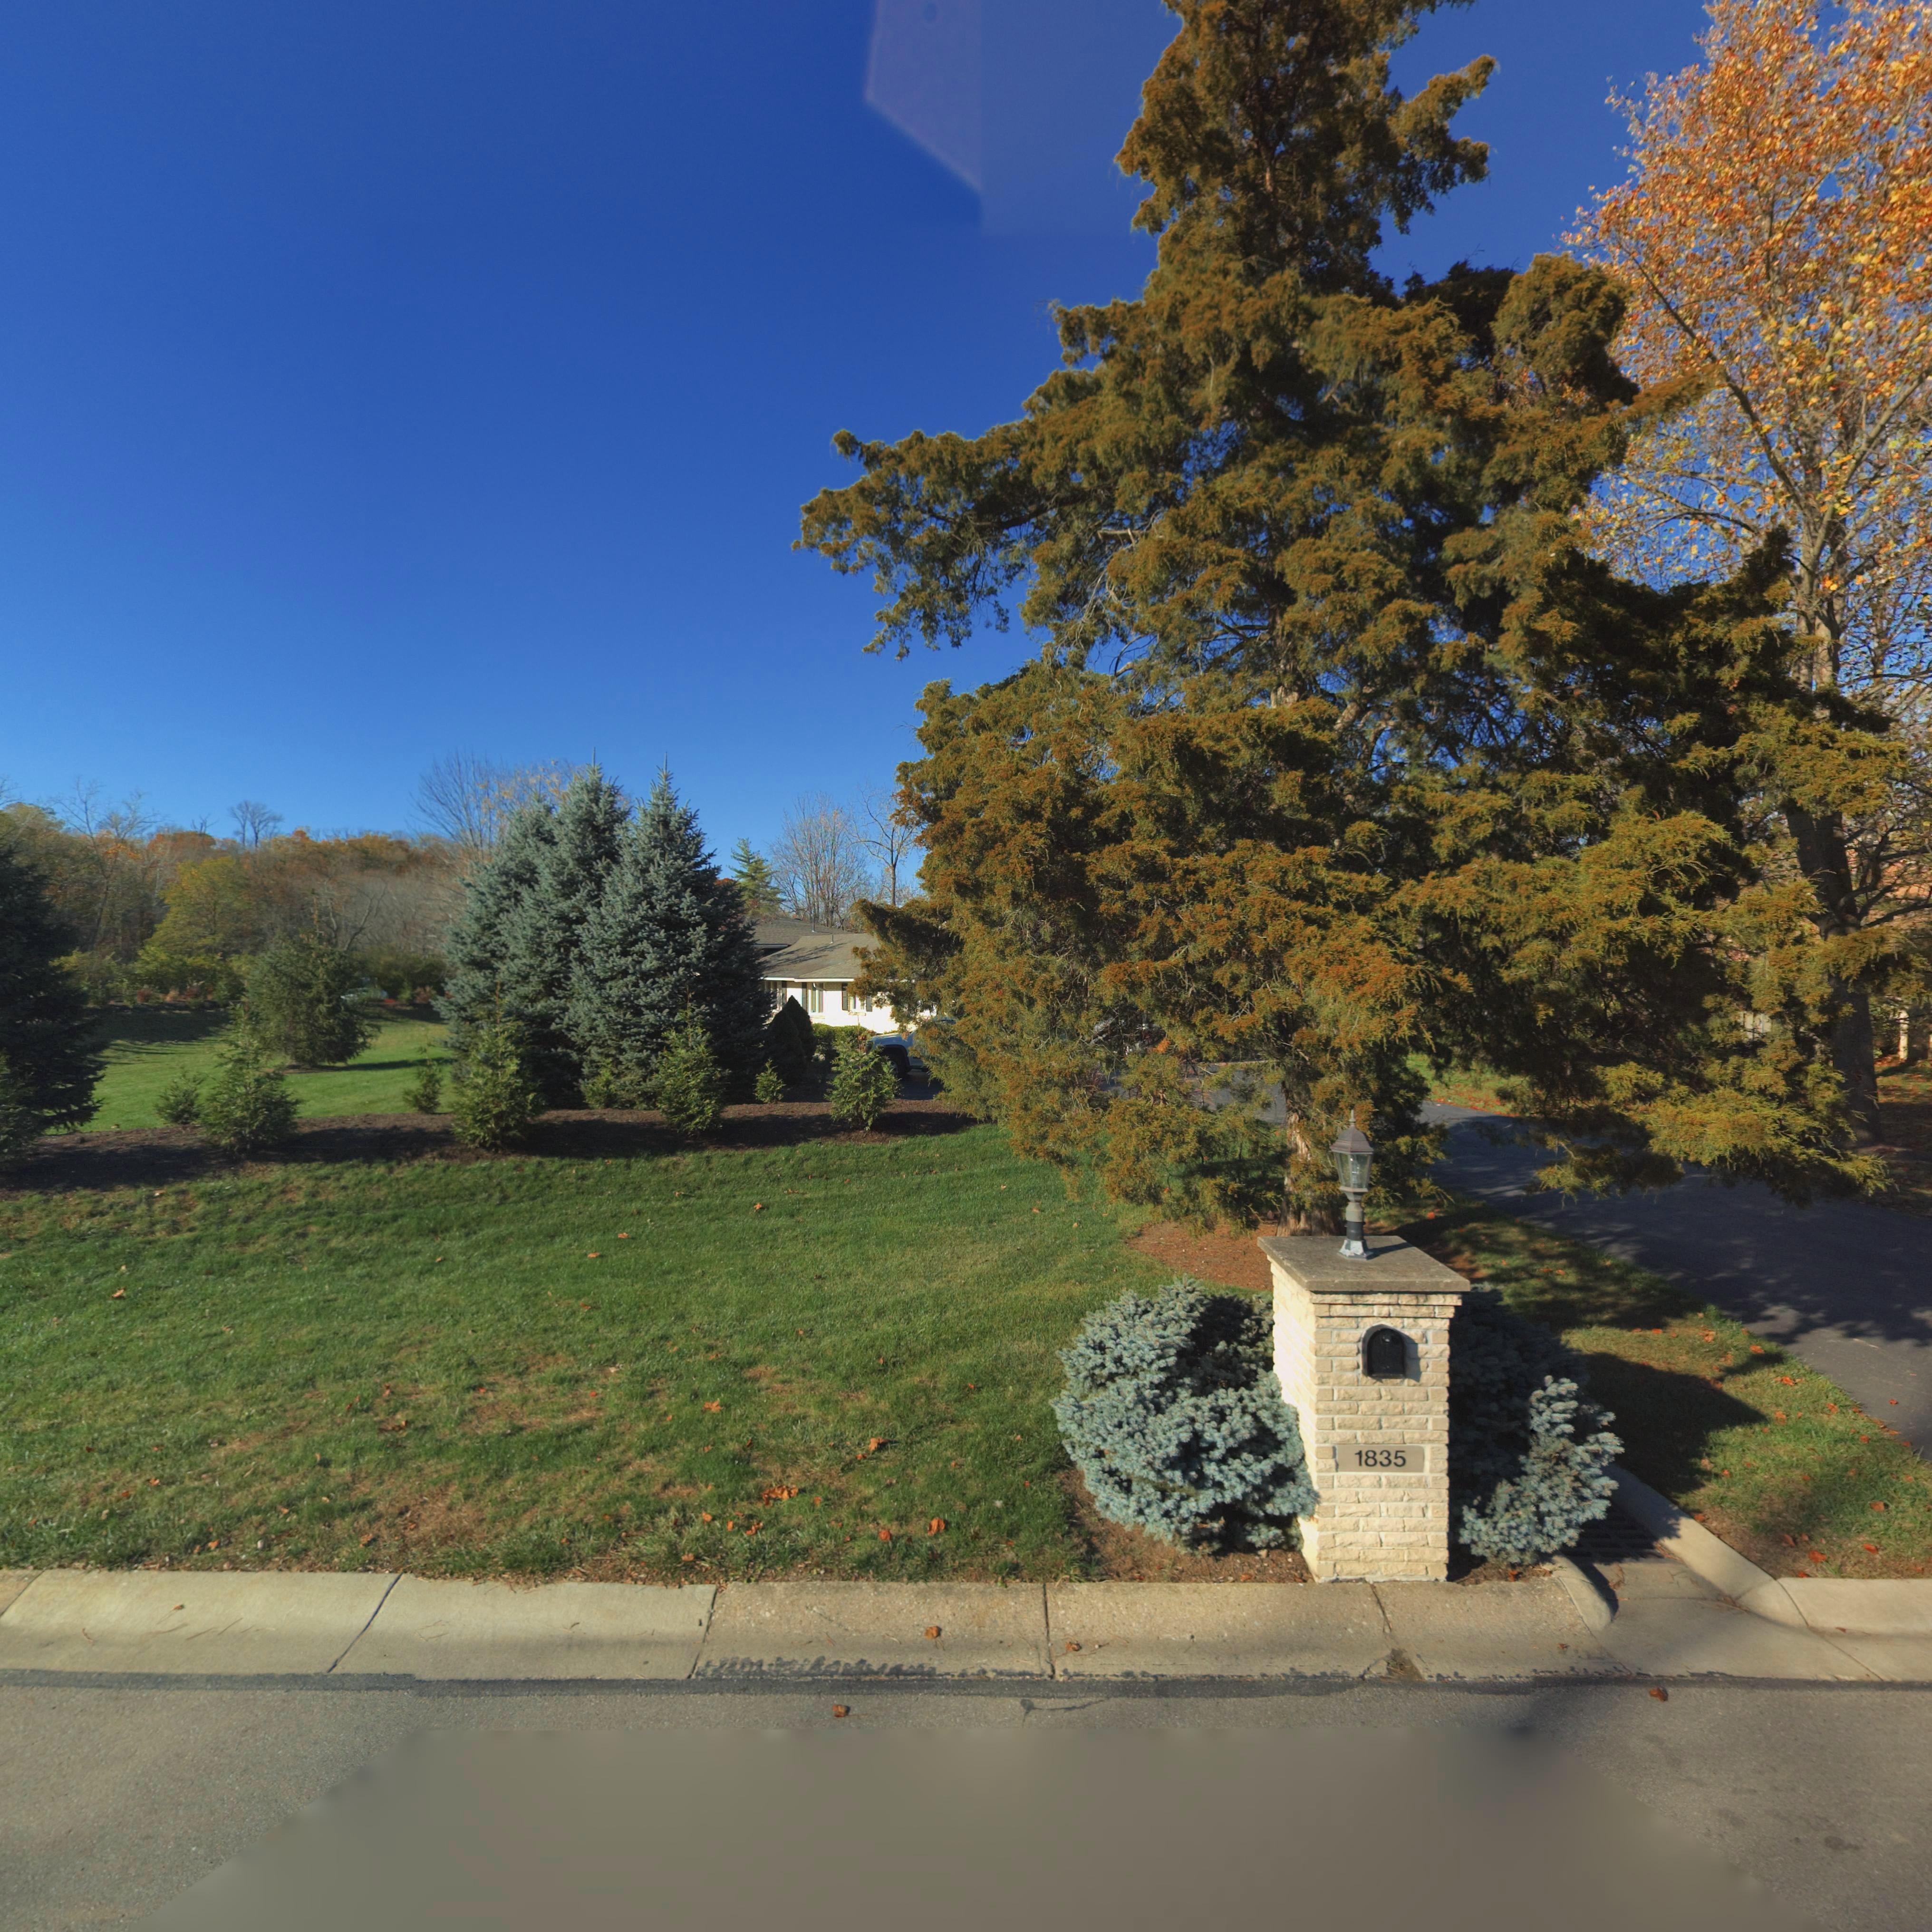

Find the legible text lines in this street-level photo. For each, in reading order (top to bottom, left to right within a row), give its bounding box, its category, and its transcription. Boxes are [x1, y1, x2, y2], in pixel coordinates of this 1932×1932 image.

[1353, 1448, 1408, 1468] StreetNumber: 1835